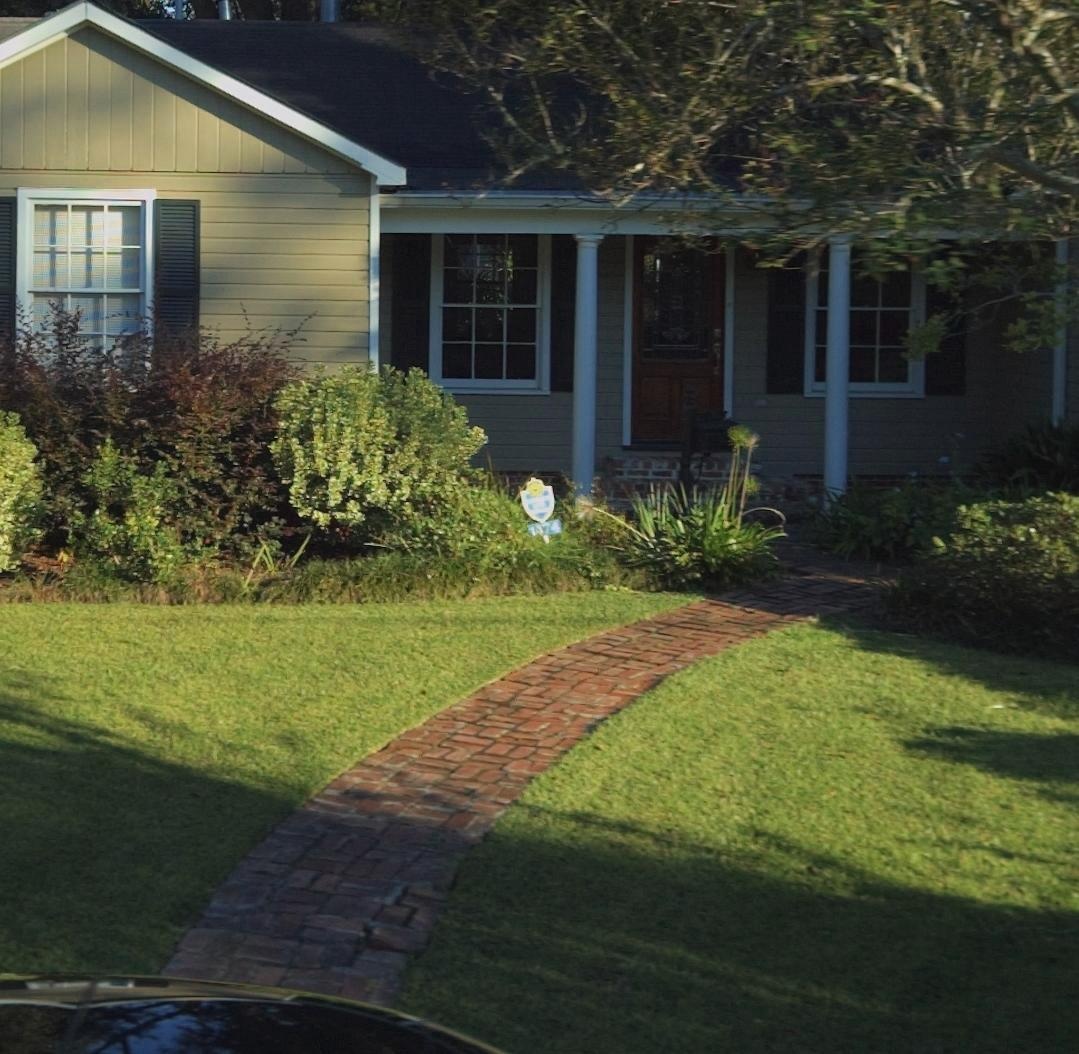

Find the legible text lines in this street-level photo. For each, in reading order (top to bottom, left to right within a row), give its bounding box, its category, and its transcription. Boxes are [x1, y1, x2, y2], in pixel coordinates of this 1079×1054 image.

[526, 519, 563, 539] StreetNumber: 1374